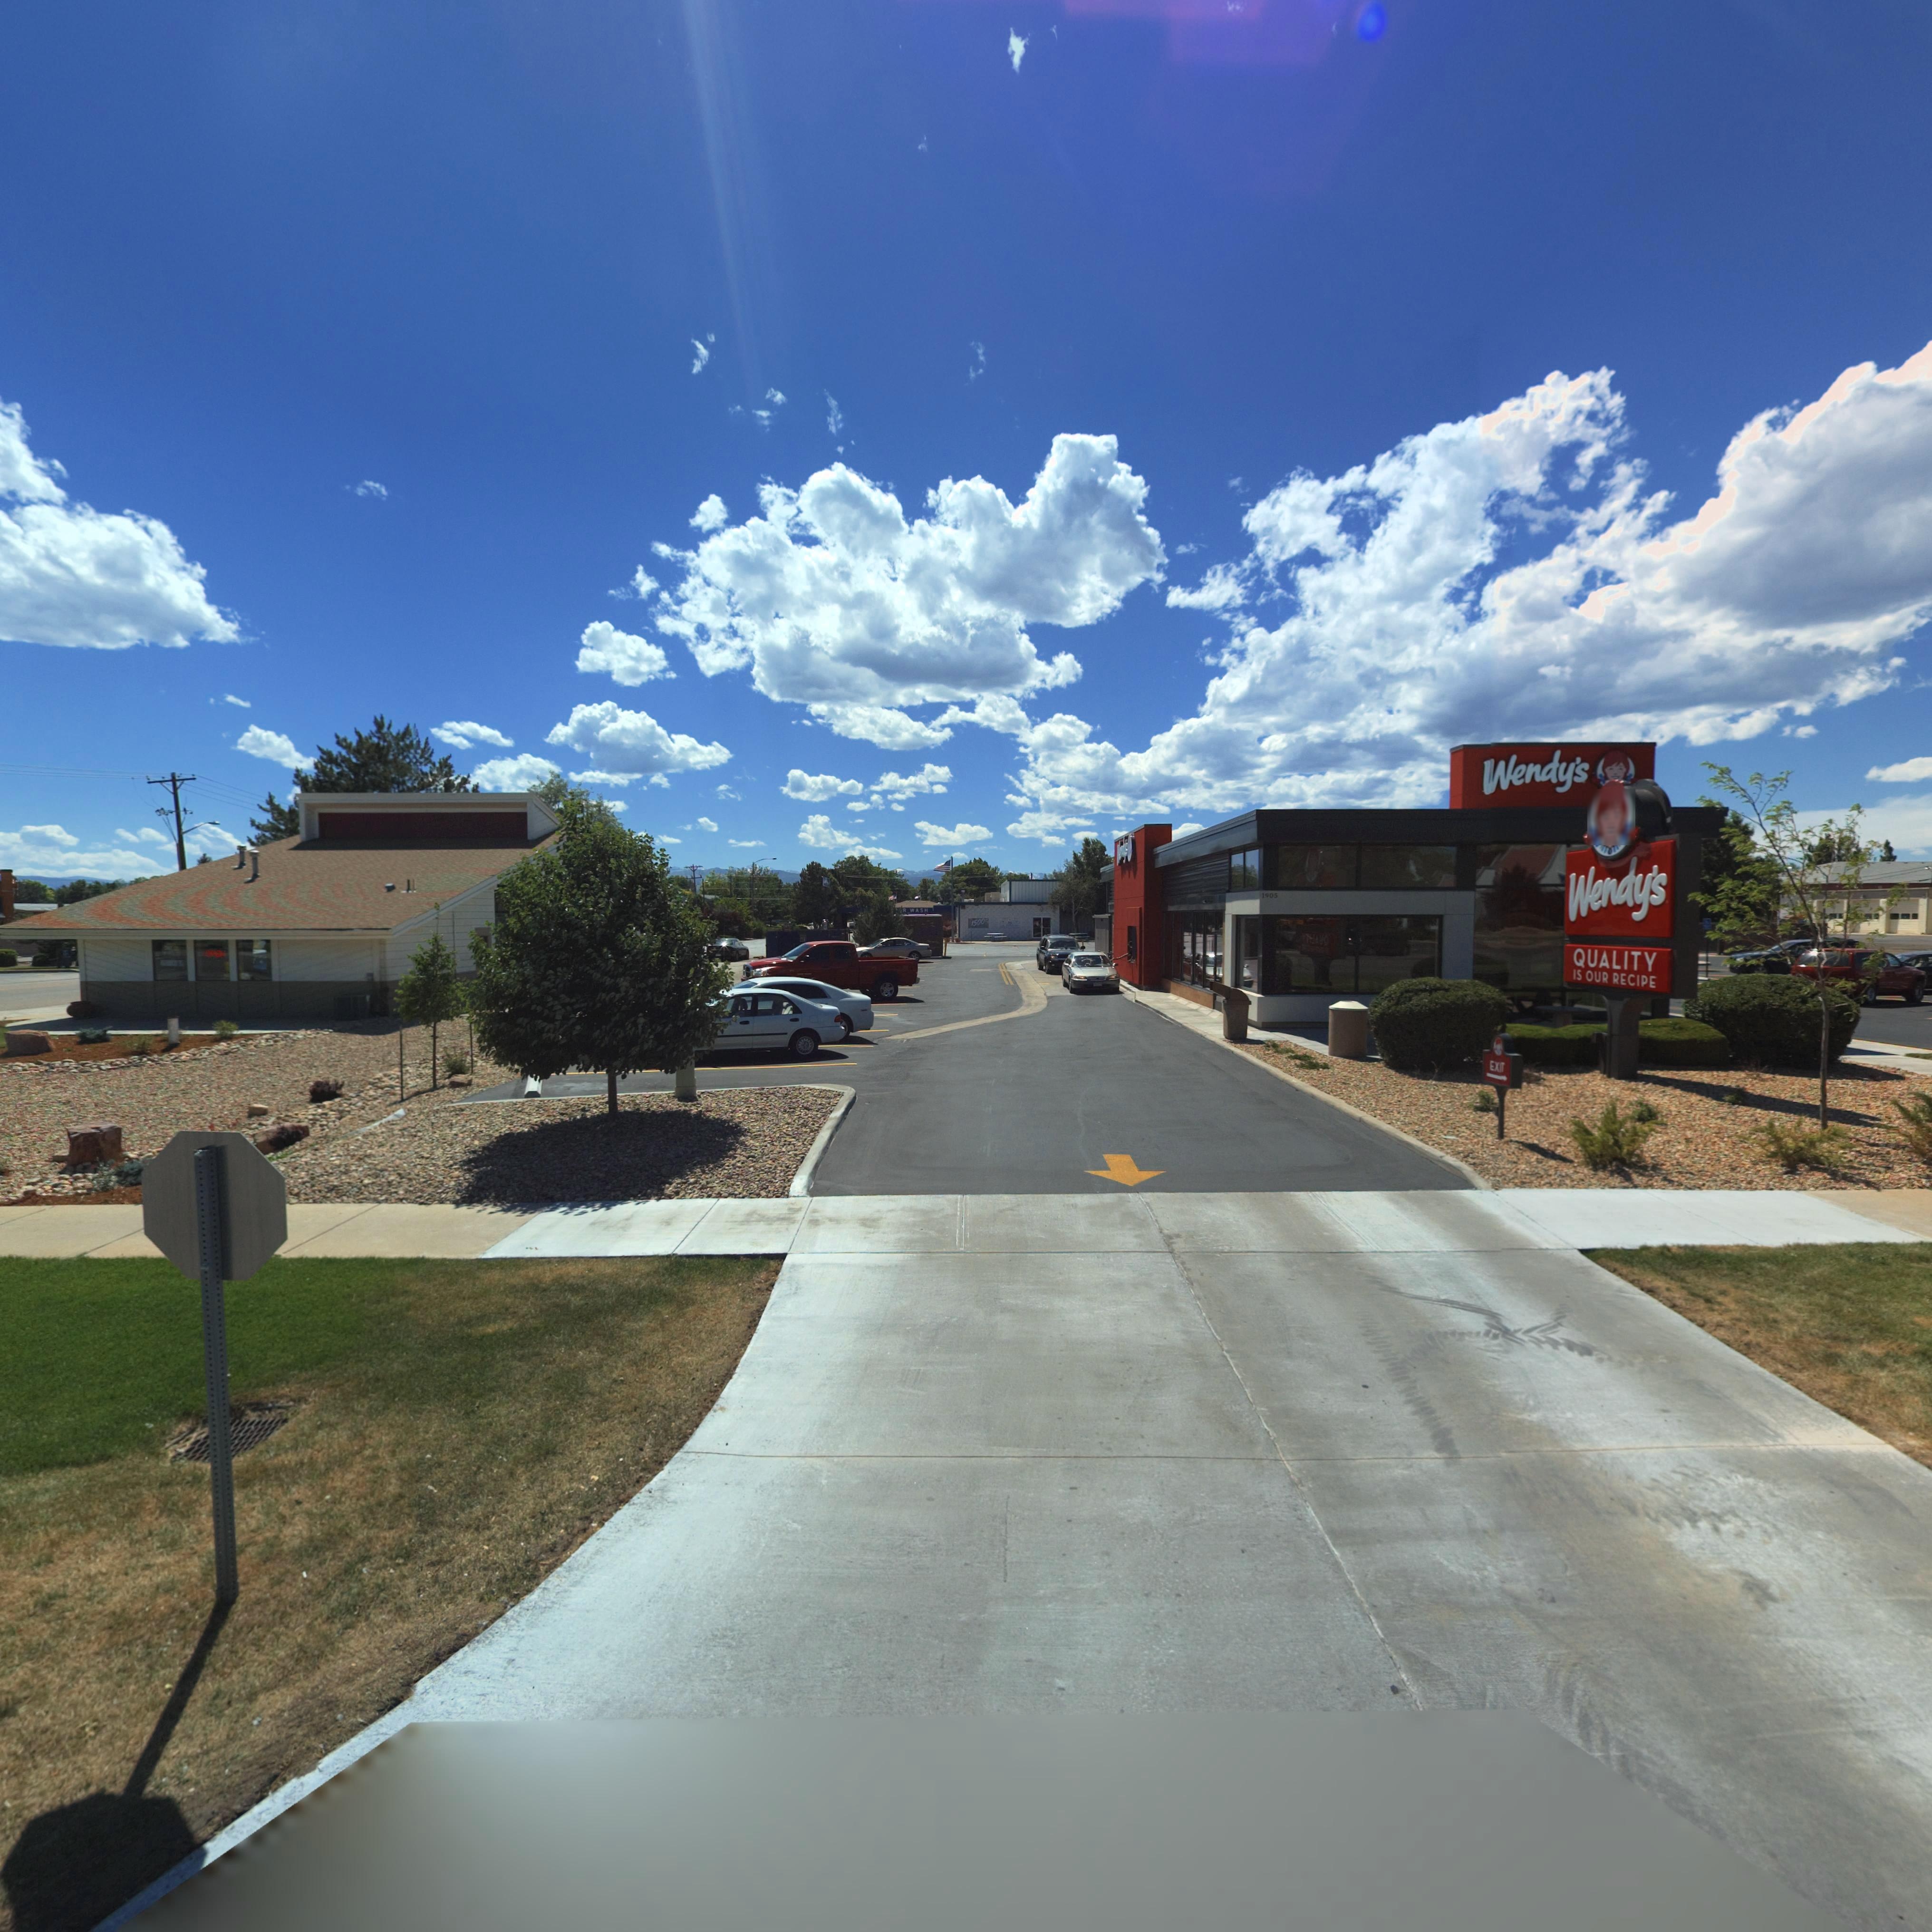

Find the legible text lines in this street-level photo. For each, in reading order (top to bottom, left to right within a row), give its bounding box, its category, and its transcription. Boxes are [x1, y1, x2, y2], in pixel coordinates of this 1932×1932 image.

[1482, 748, 1591, 796] BusinessName: Wendy's
[1115, 835, 1128, 866] BusinessName: ******s
[902, 908, 927, 913] BusinessName: R WASH
[1262, 893, 1278, 898] StreetNumber: 1905
[1567, 855, 1669, 923] BusinessName: Wendy's